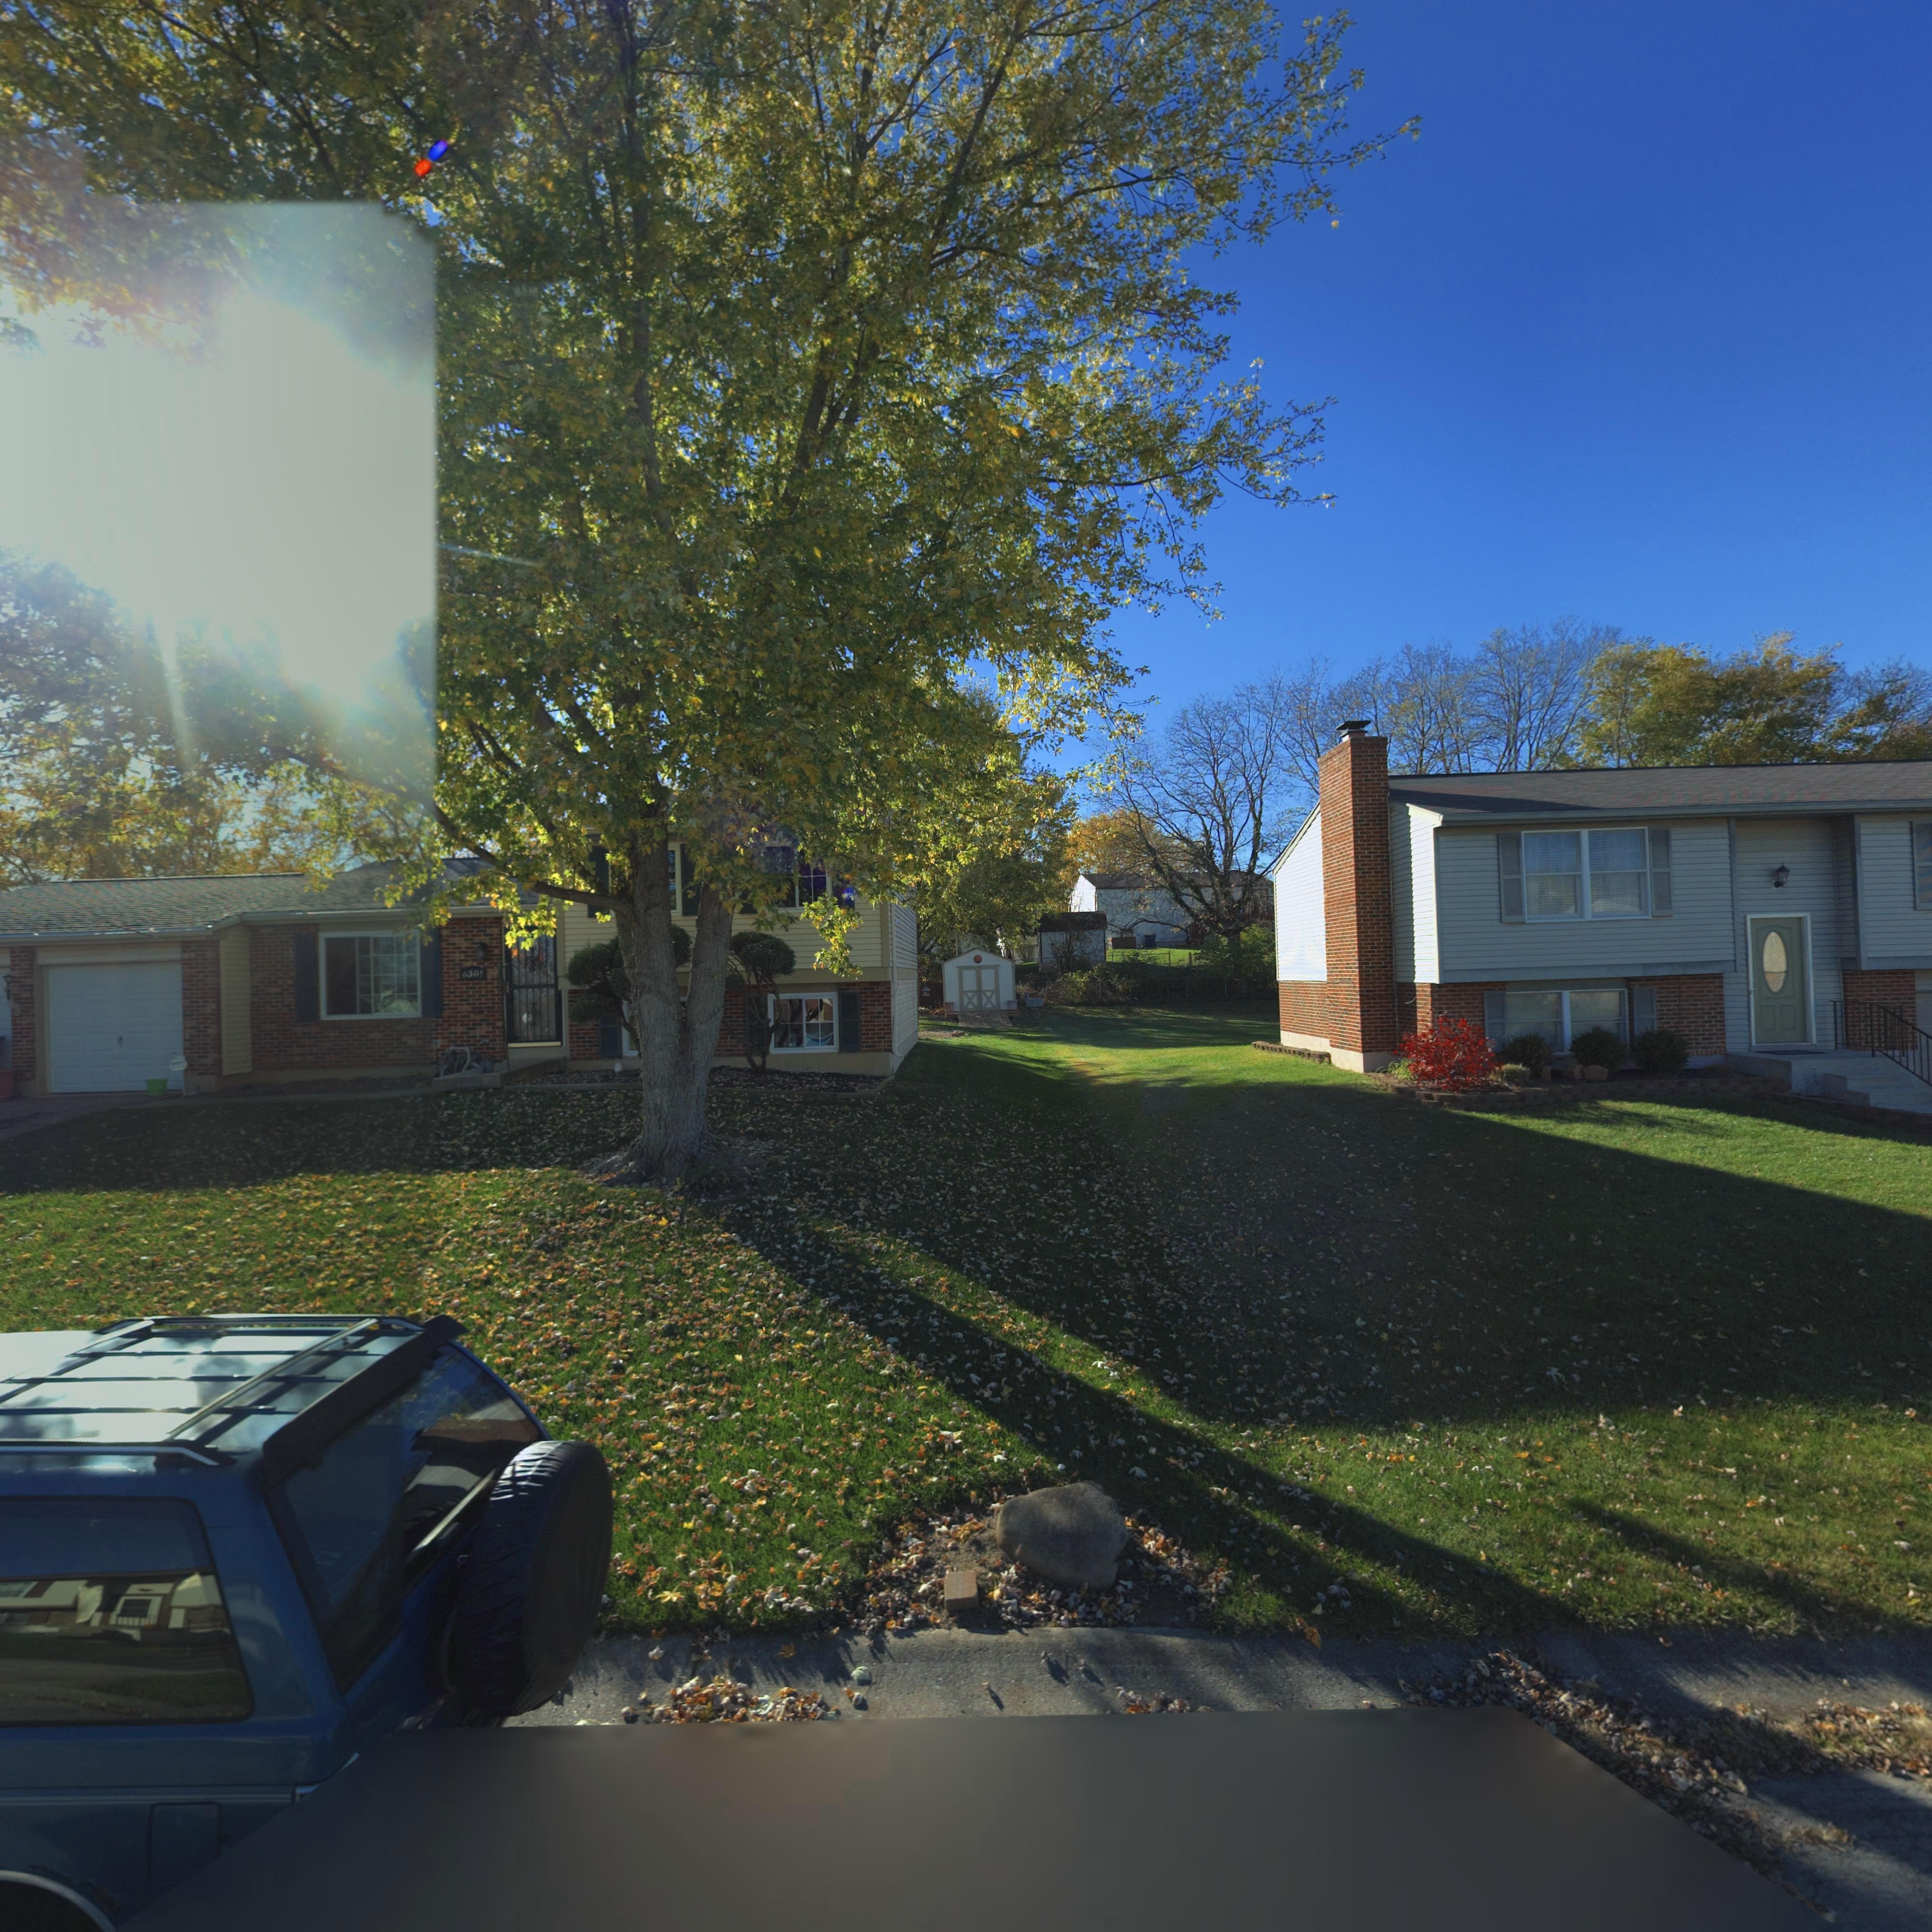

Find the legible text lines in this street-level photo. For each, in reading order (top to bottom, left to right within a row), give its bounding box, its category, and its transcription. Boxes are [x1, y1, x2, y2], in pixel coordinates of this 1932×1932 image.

[461, 968, 484, 979] StreetNumber: 630*